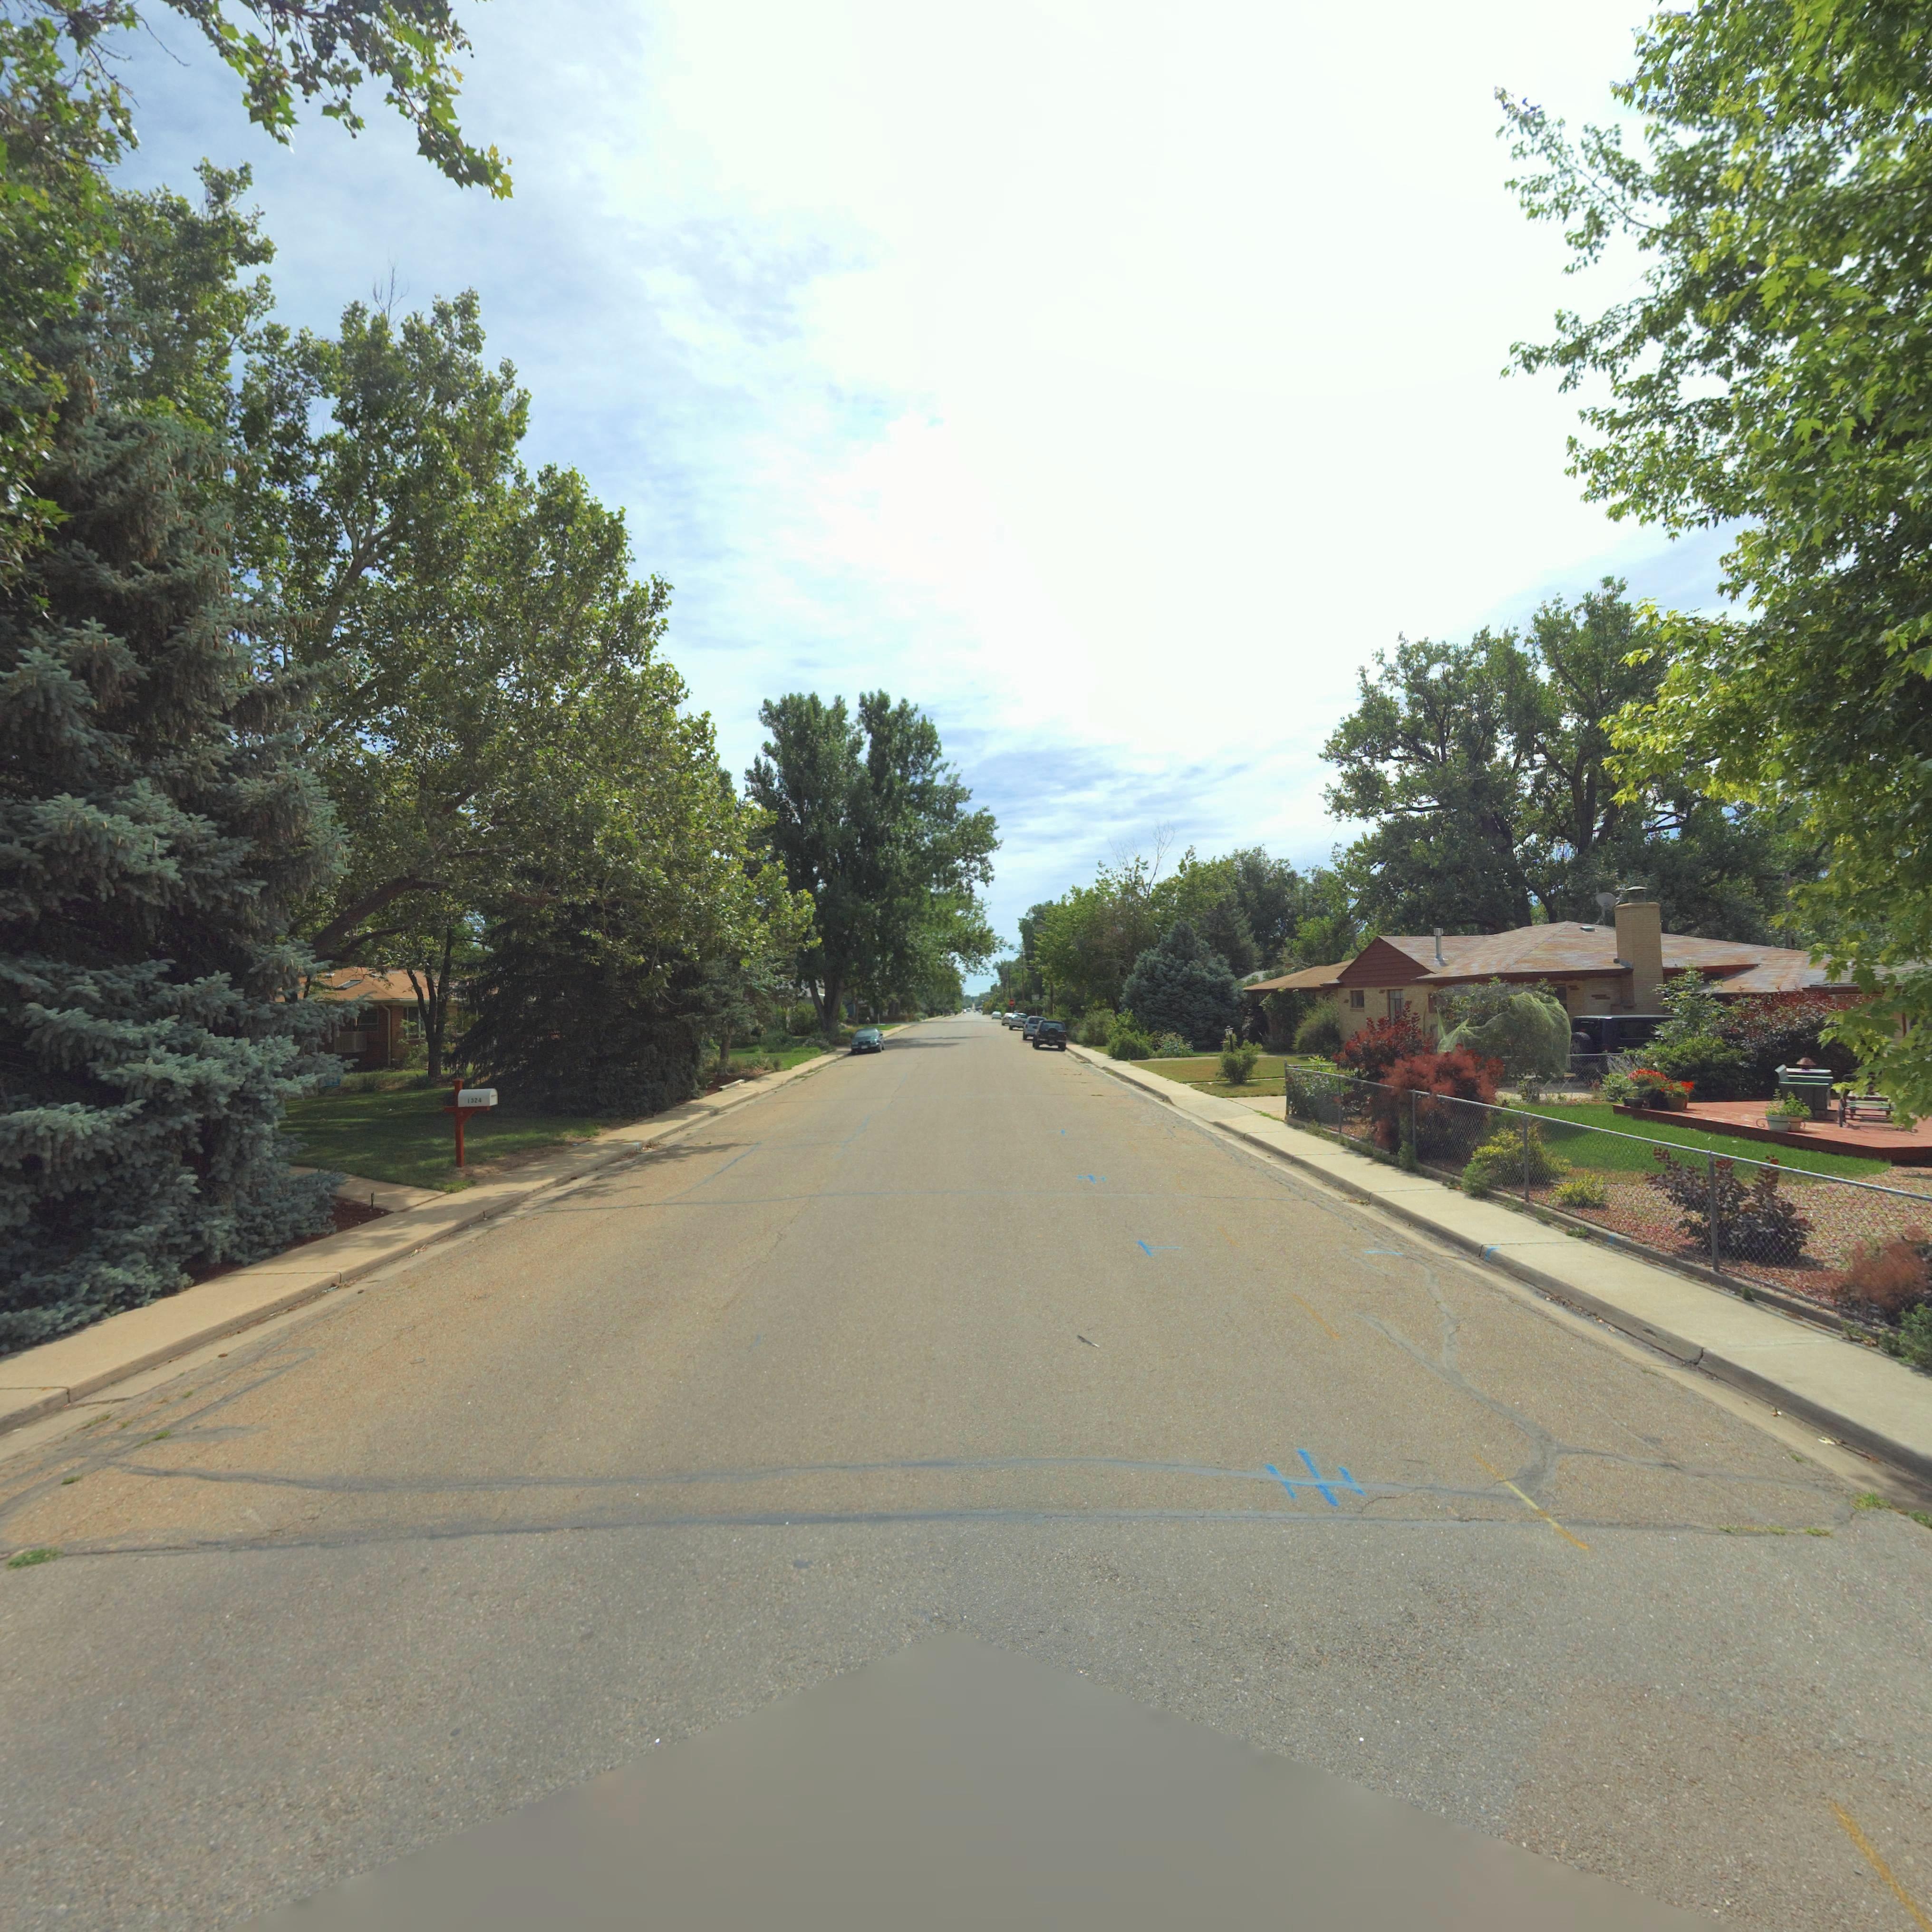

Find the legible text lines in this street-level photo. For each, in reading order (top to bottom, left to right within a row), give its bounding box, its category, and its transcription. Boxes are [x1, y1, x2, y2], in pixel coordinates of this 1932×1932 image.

[467, 1097, 482, 1103] StreetNumber: 1324